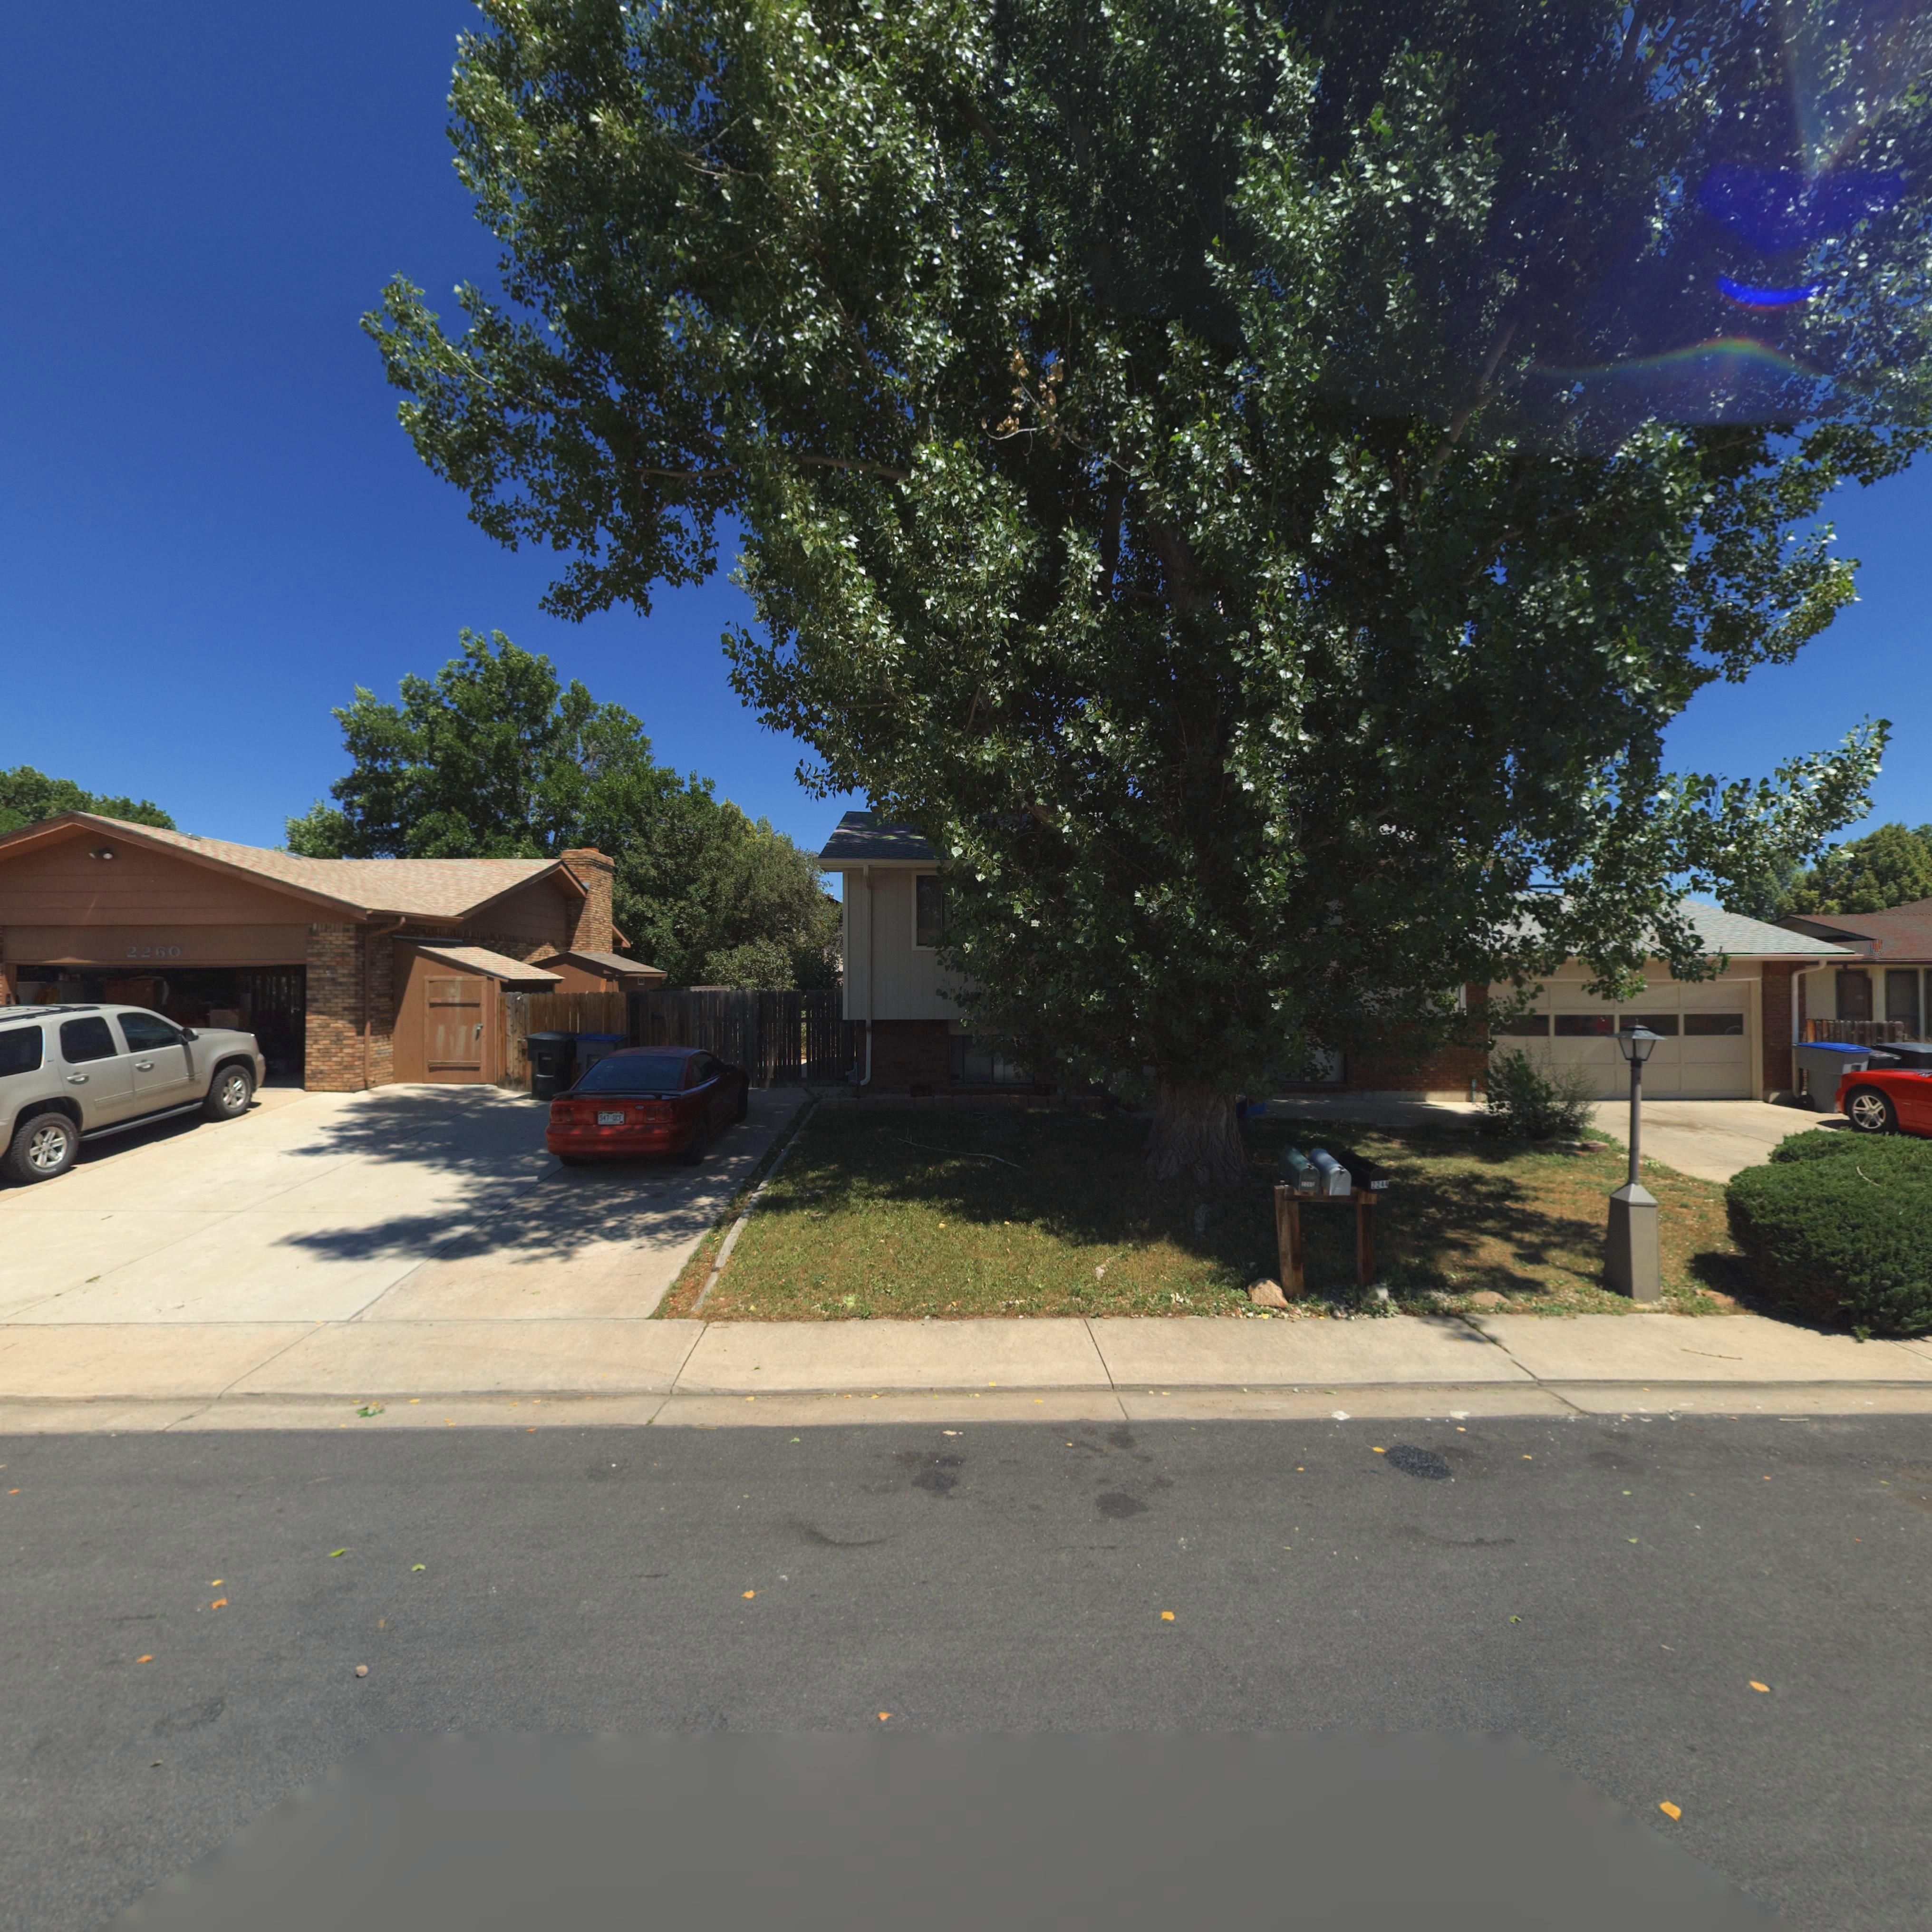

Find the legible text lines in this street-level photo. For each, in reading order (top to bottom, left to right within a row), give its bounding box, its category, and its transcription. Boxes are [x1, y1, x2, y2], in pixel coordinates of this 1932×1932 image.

[126, 946, 181, 957] StreetNumber: 2260
[1302, 1181, 1314, 1187] StreetNumber: 22**
[1371, 1180, 1389, 1188] StreetNumber: 2244